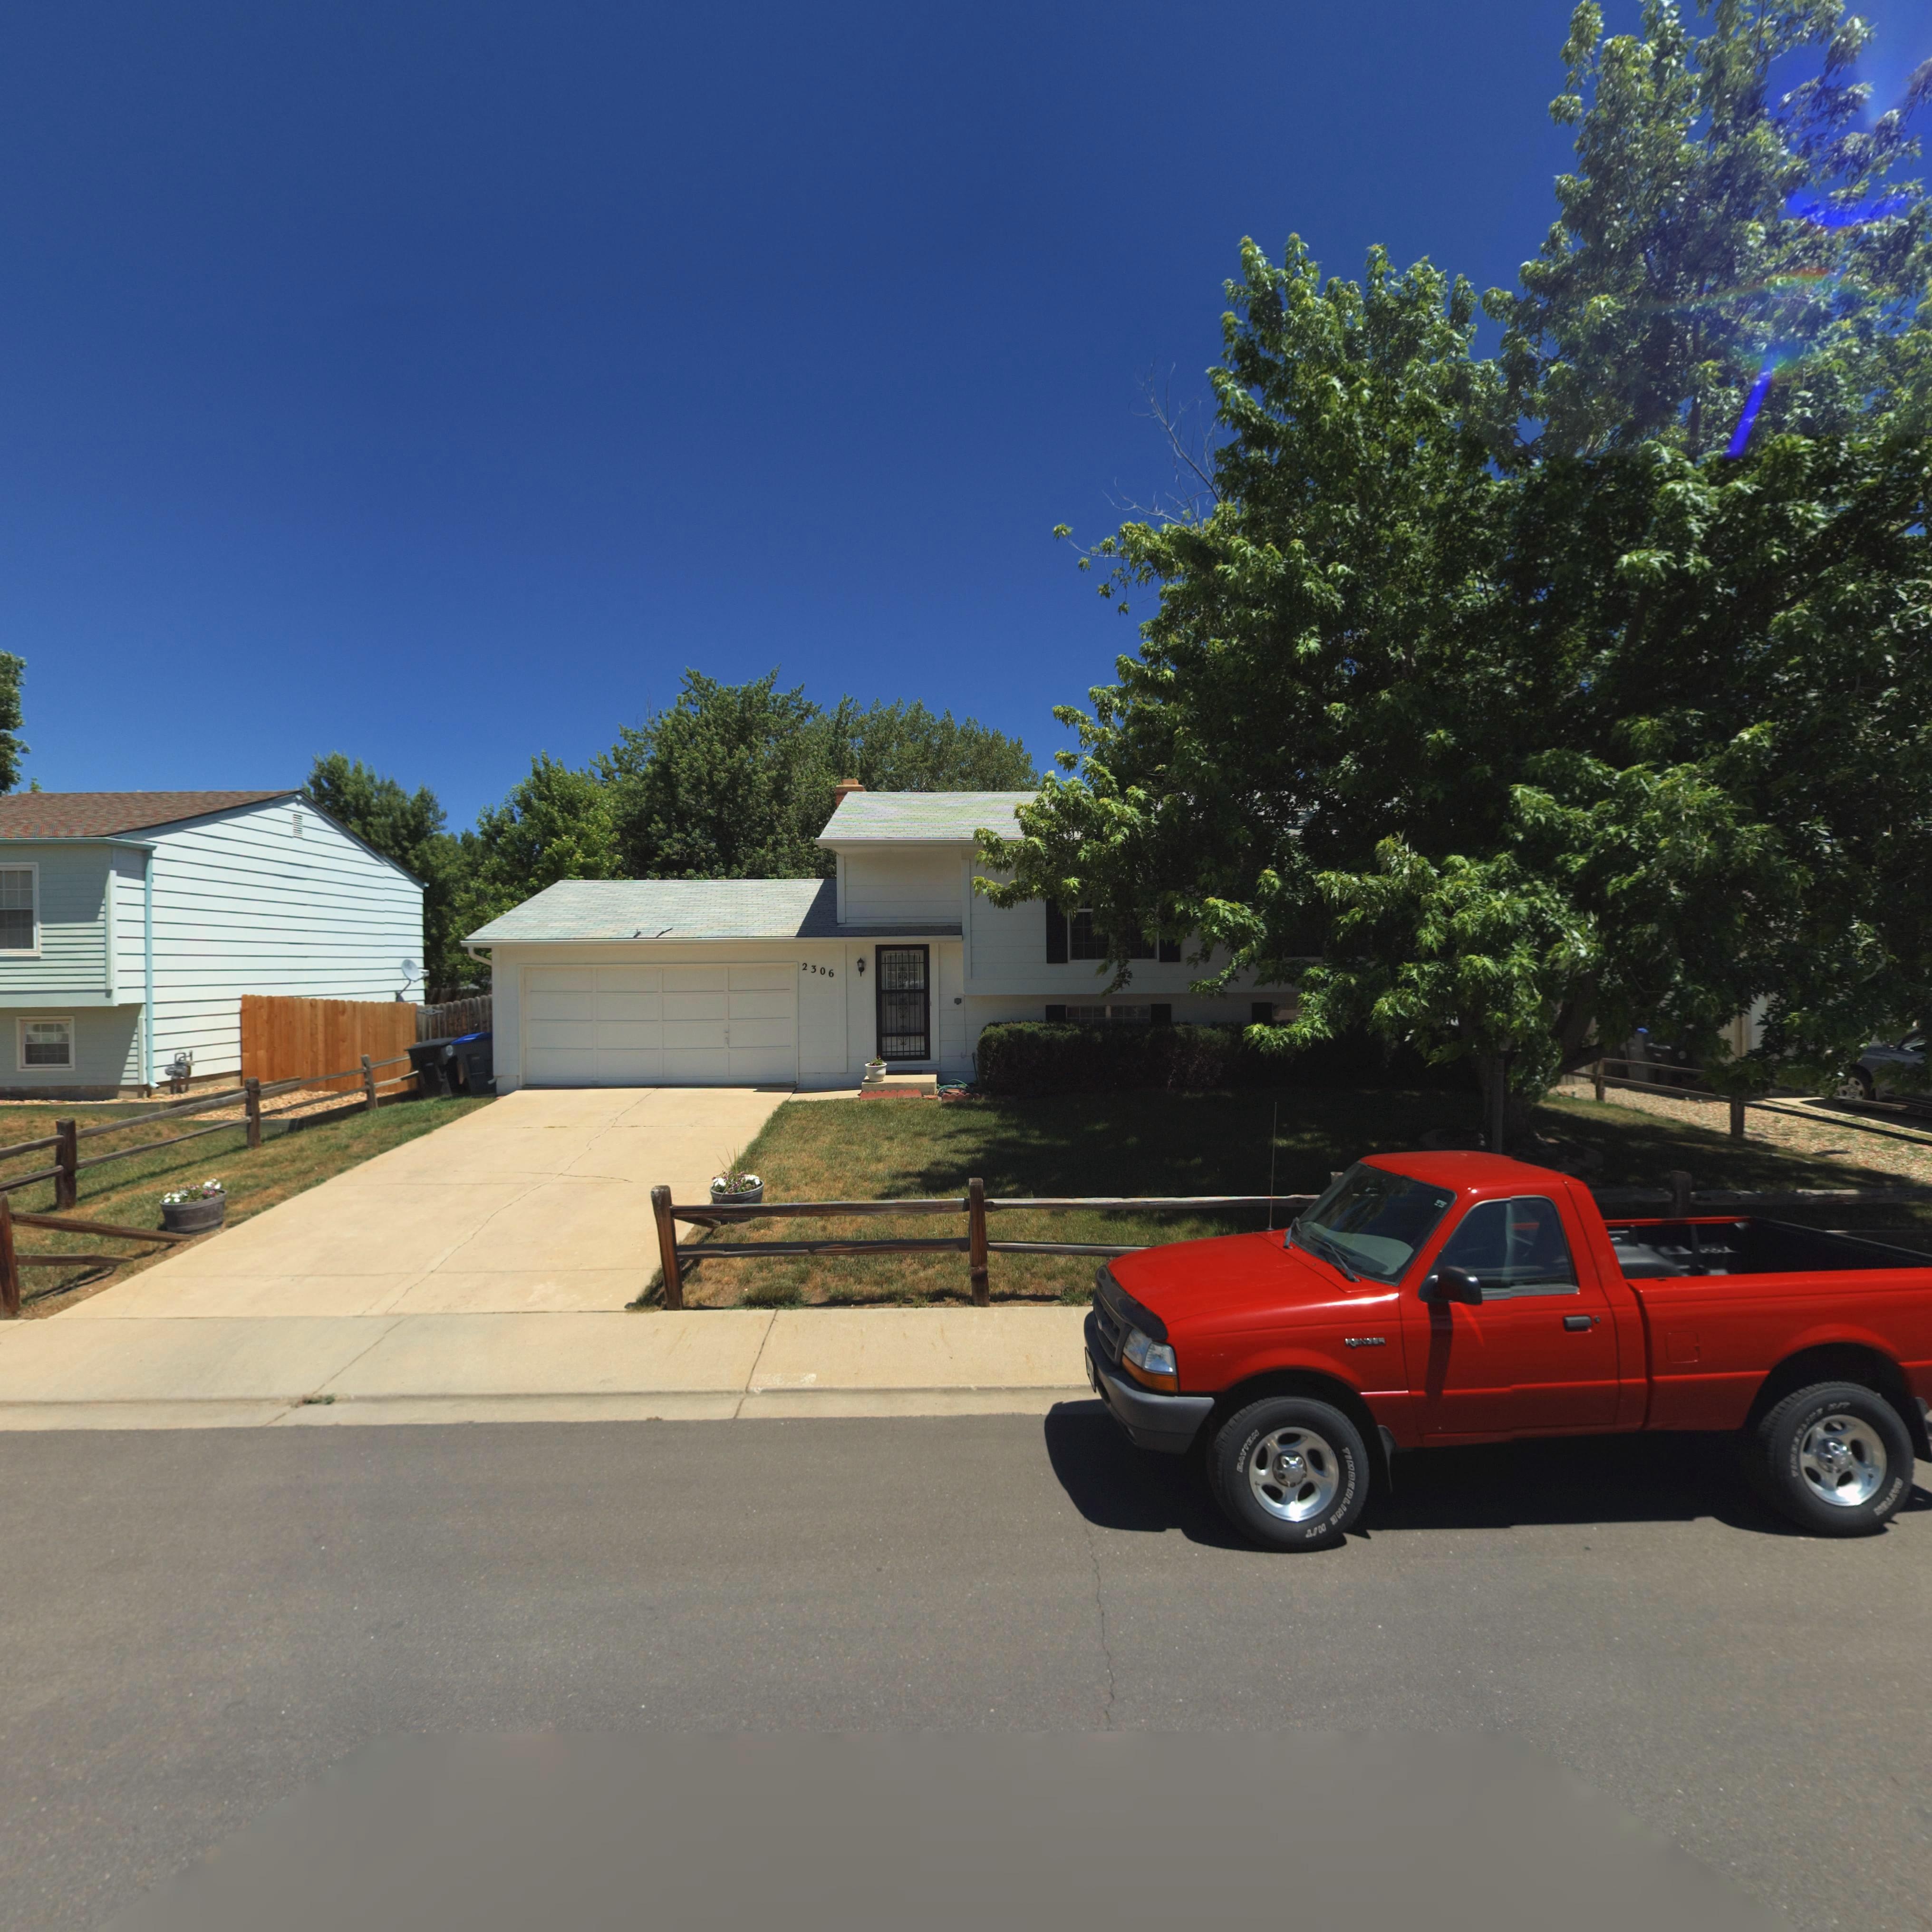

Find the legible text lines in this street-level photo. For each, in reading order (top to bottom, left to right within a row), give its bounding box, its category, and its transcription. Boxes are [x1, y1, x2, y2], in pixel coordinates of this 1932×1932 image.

[802, 963, 834, 978] StreetNumber: 2306